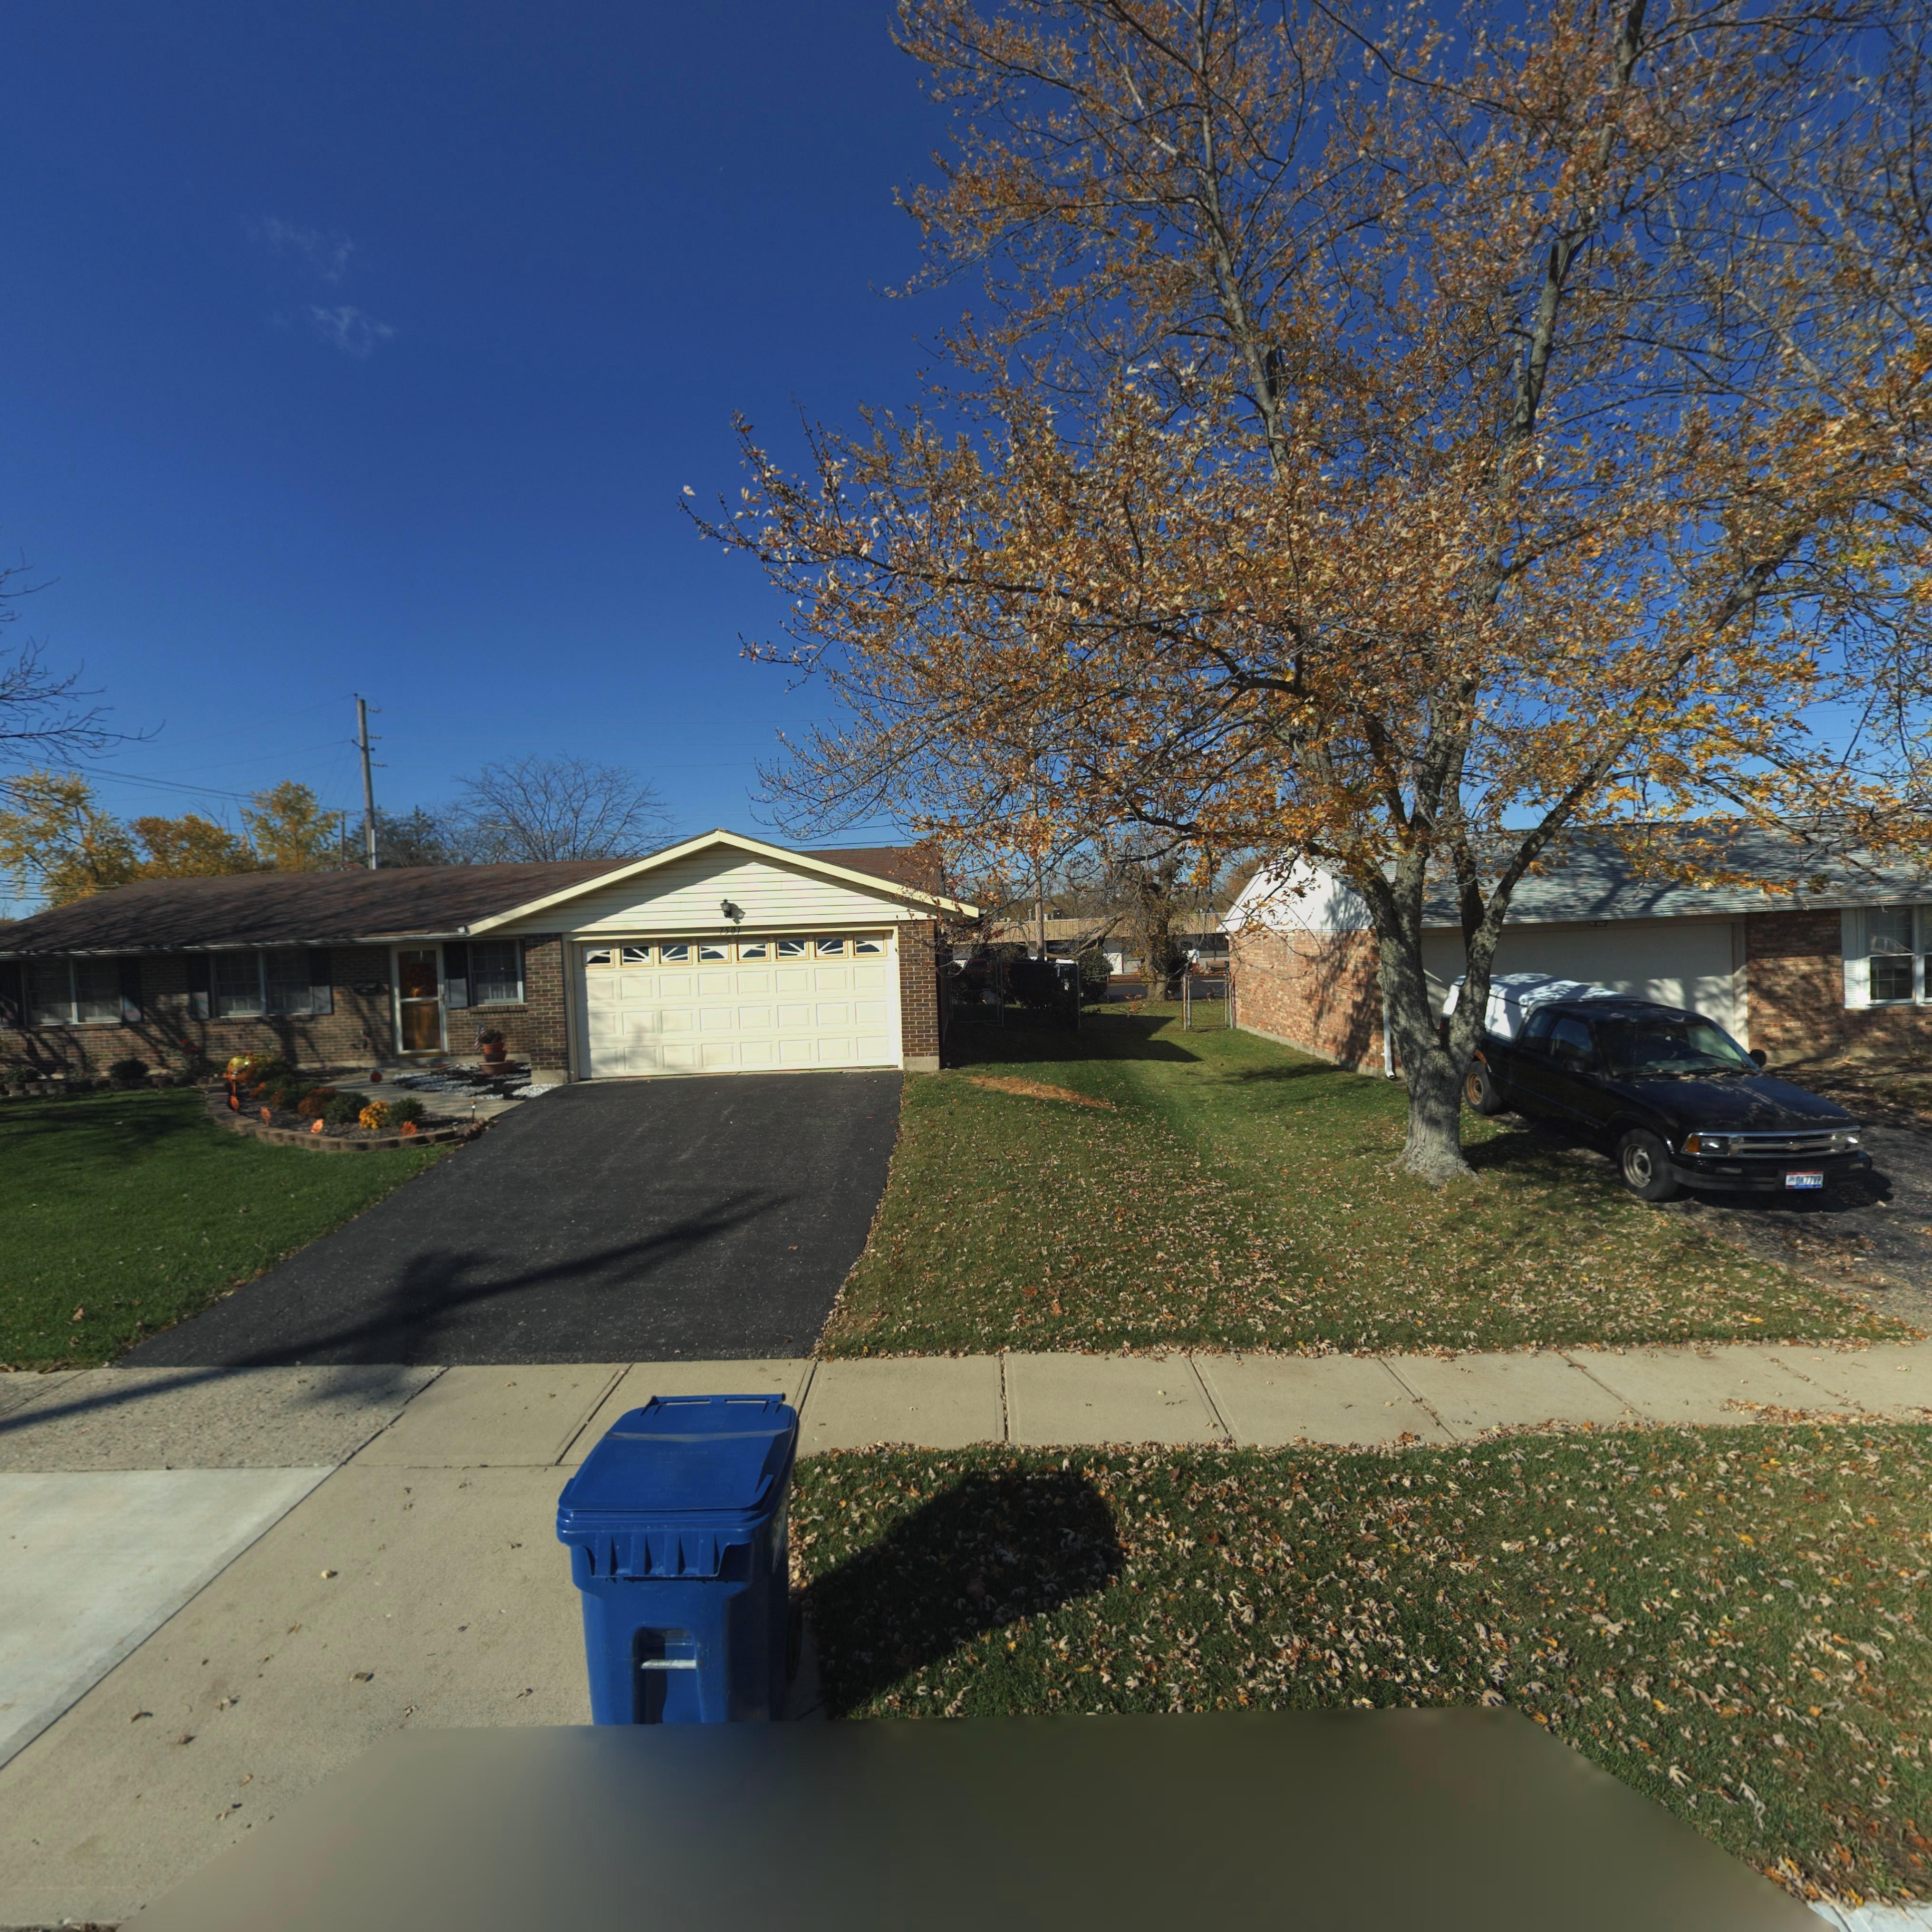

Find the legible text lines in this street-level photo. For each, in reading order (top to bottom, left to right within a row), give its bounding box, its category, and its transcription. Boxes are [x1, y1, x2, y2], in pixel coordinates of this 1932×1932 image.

[719, 927, 742, 936] StreetNumber: 7501